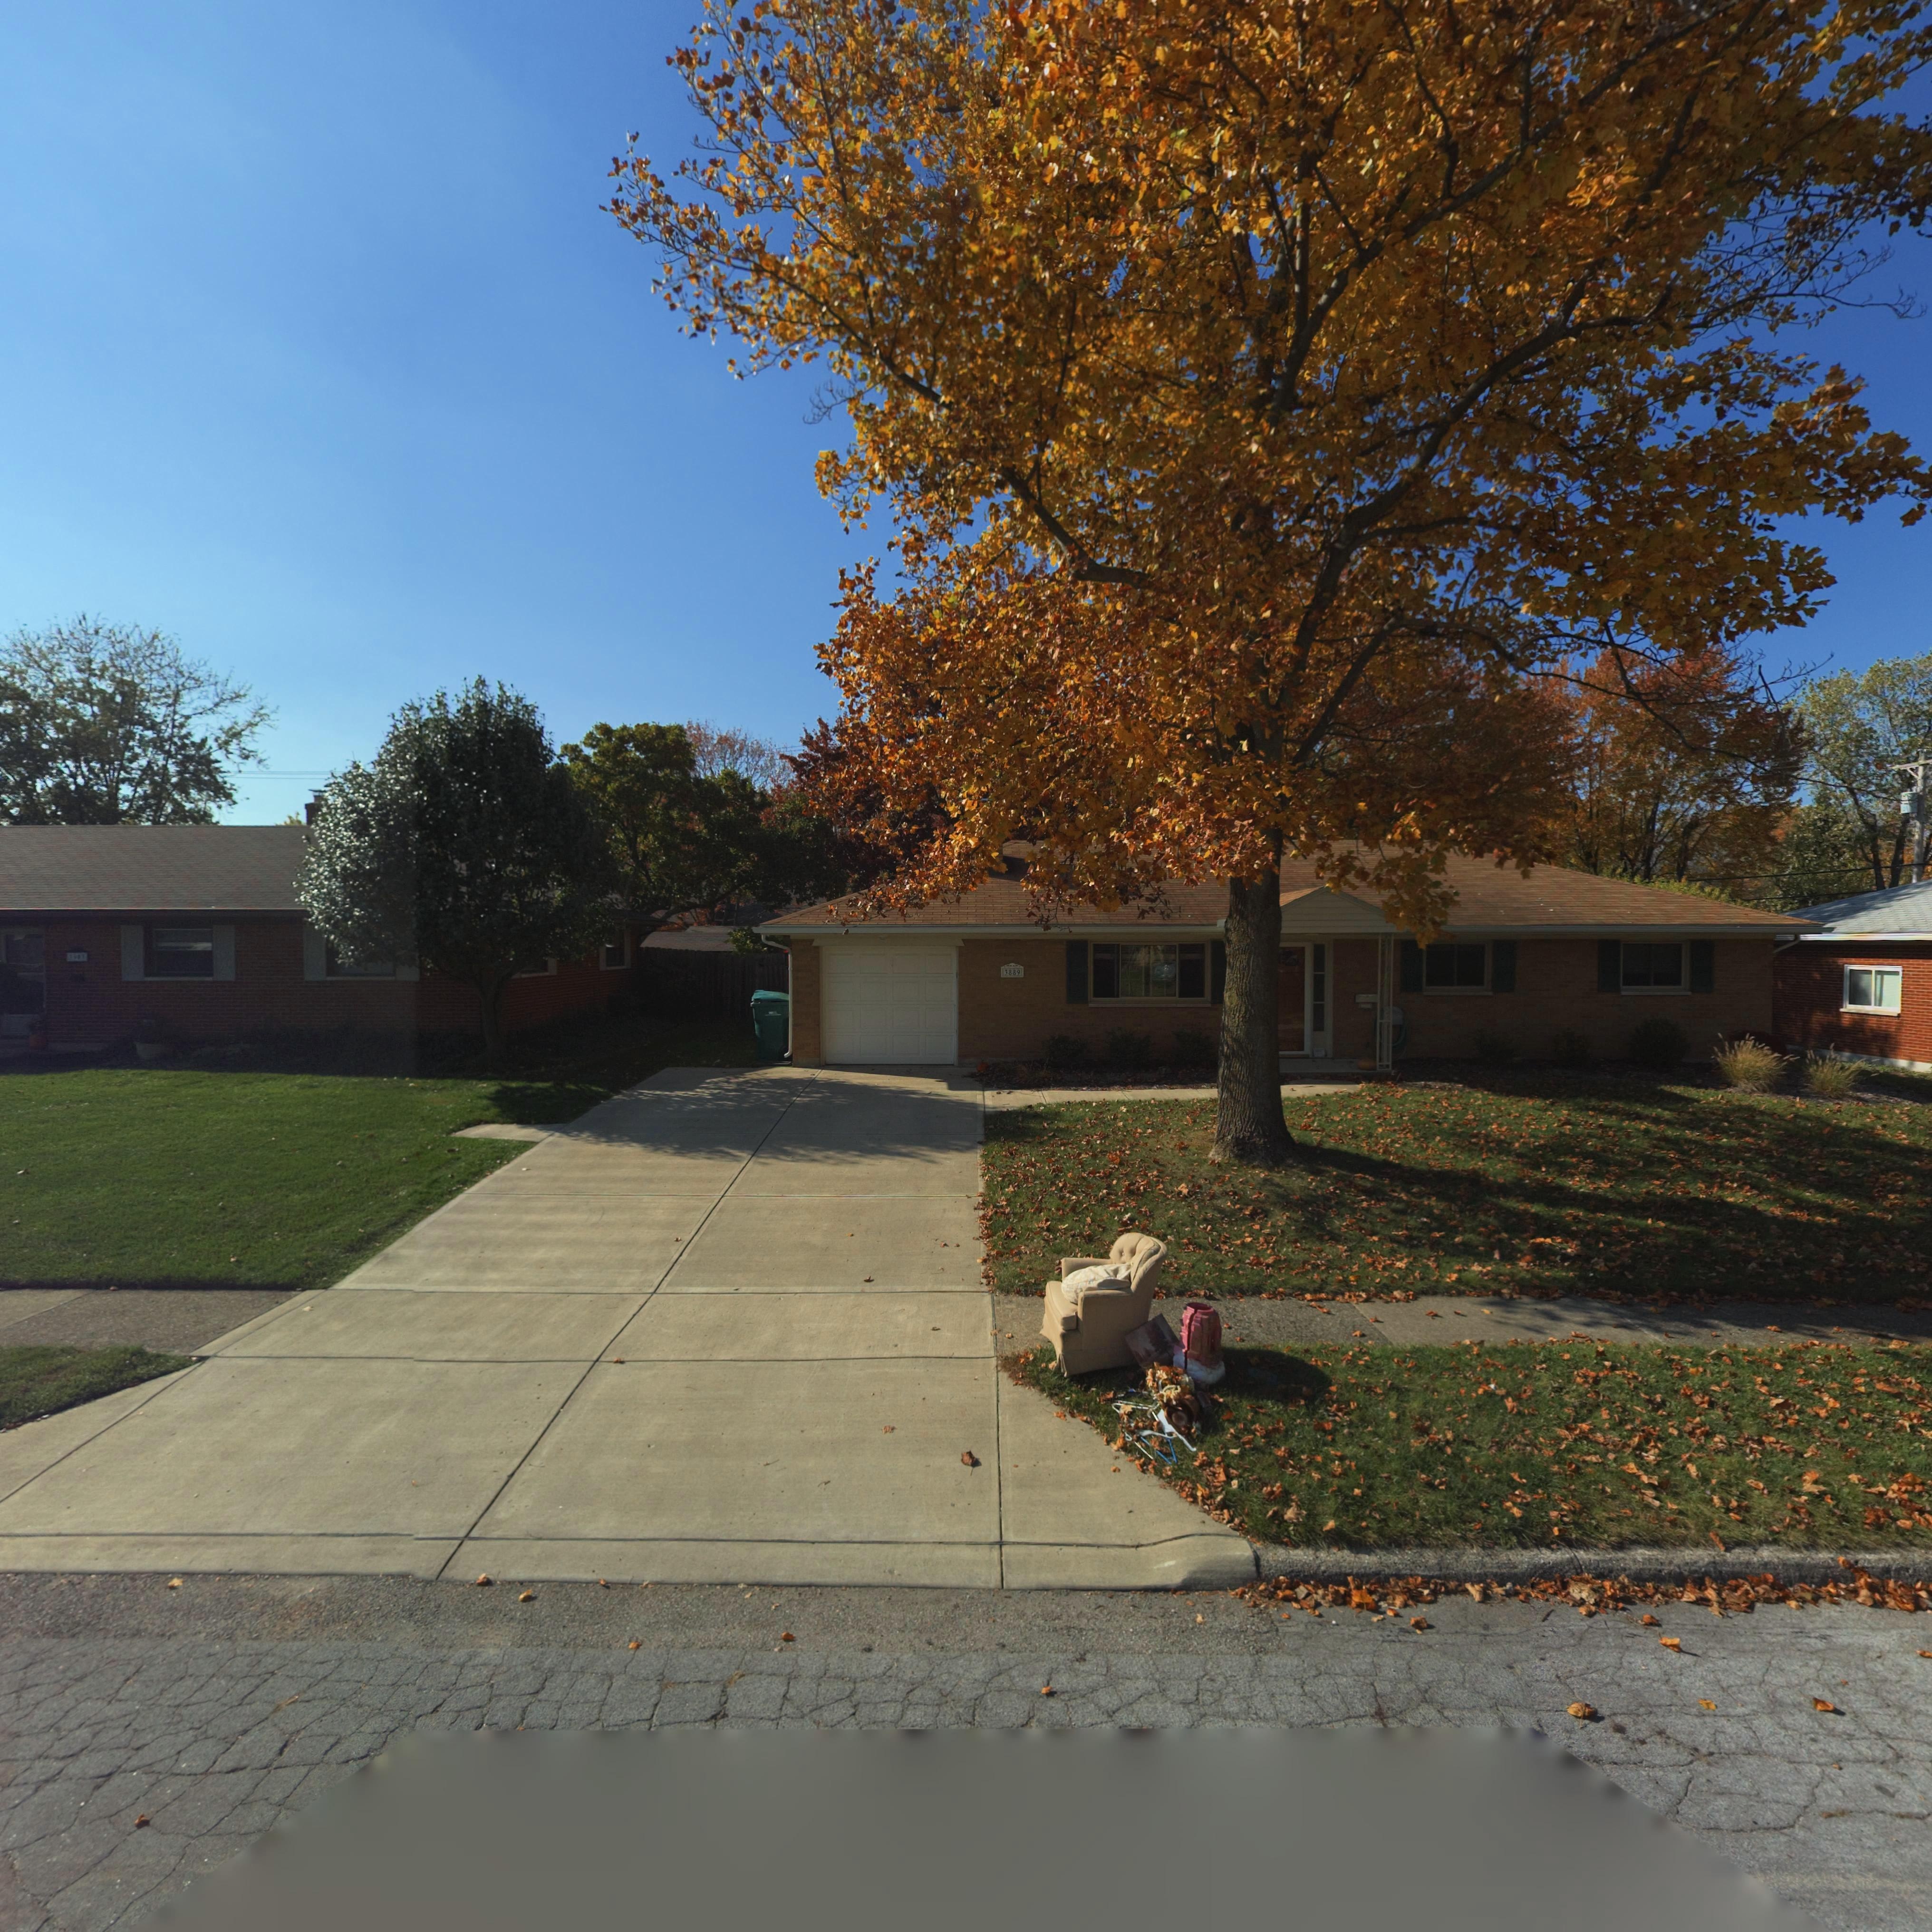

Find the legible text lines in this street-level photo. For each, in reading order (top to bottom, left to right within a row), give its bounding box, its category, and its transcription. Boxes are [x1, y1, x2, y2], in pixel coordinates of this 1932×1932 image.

[1004, 969, 1020, 975] StreetNumber: 3889